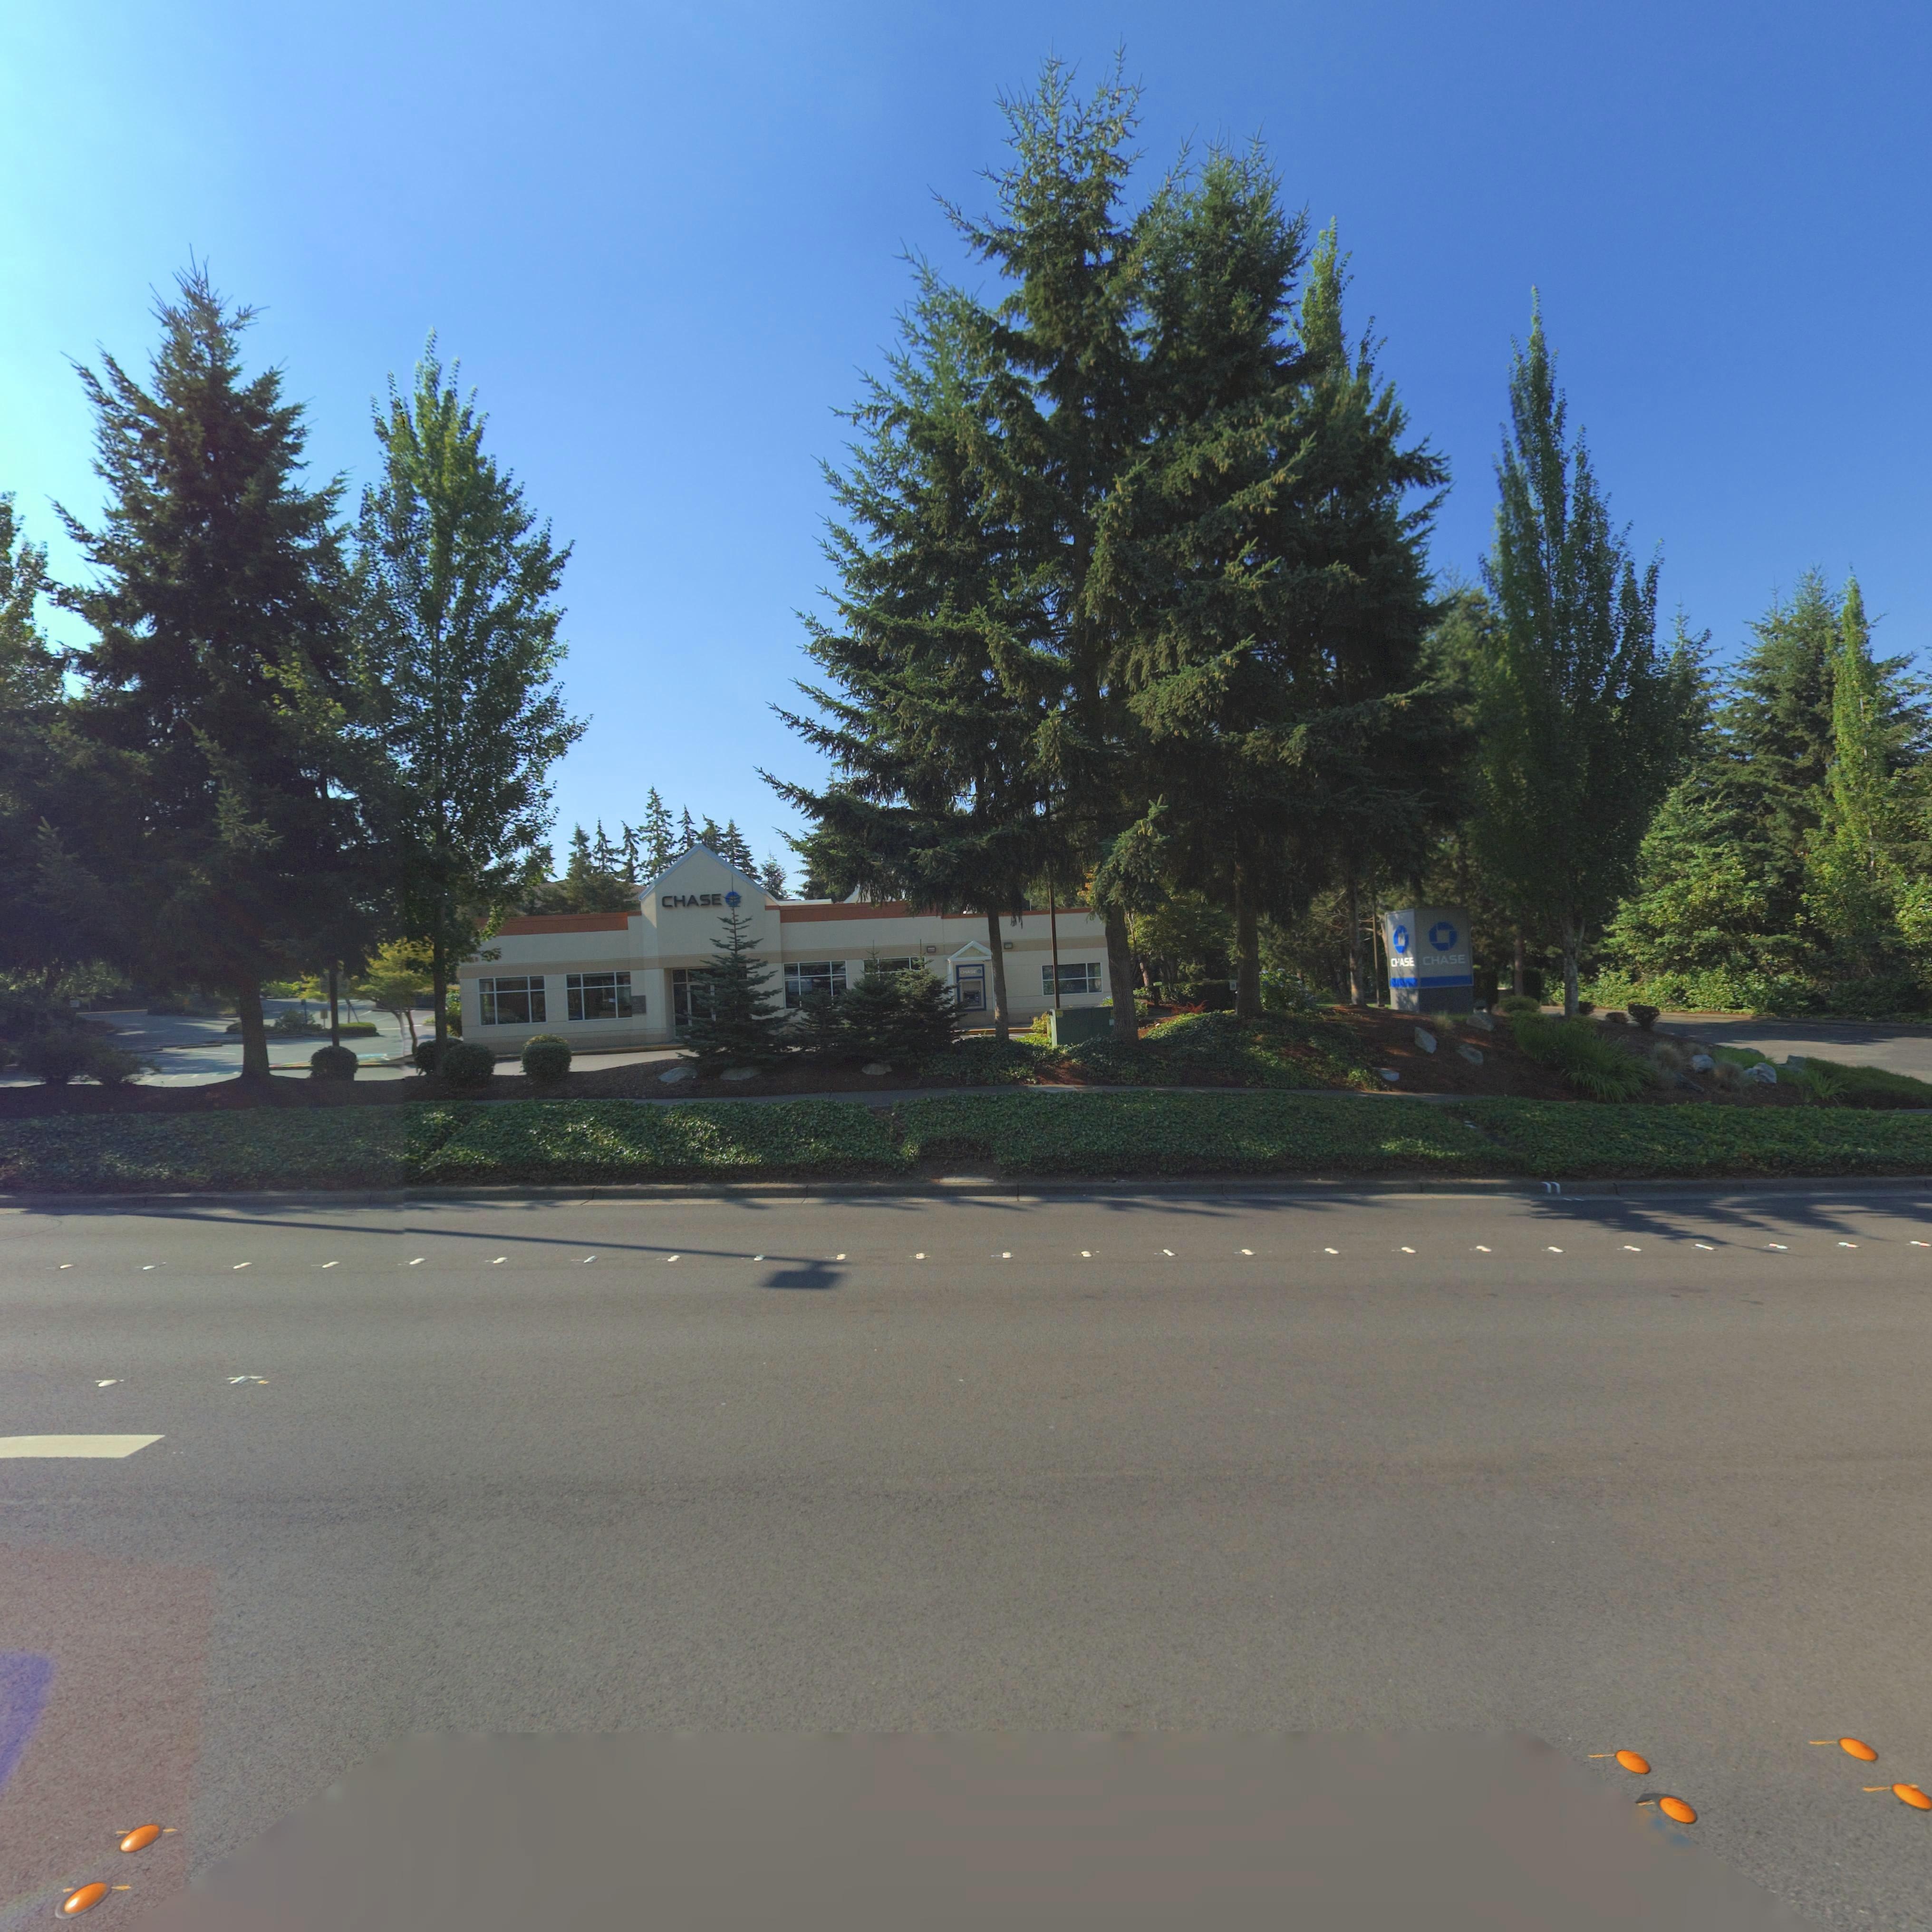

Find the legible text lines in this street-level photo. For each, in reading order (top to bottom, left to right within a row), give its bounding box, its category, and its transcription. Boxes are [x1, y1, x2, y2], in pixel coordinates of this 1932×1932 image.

[660, 892, 723, 909] BusinessName: CHASE
[1390, 956, 1415, 967] BusinessName: CHASE
[1422, 954, 1465, 965] BusinessName: CHASE
[959, 969, 977, 974] BusinessName: CHASE